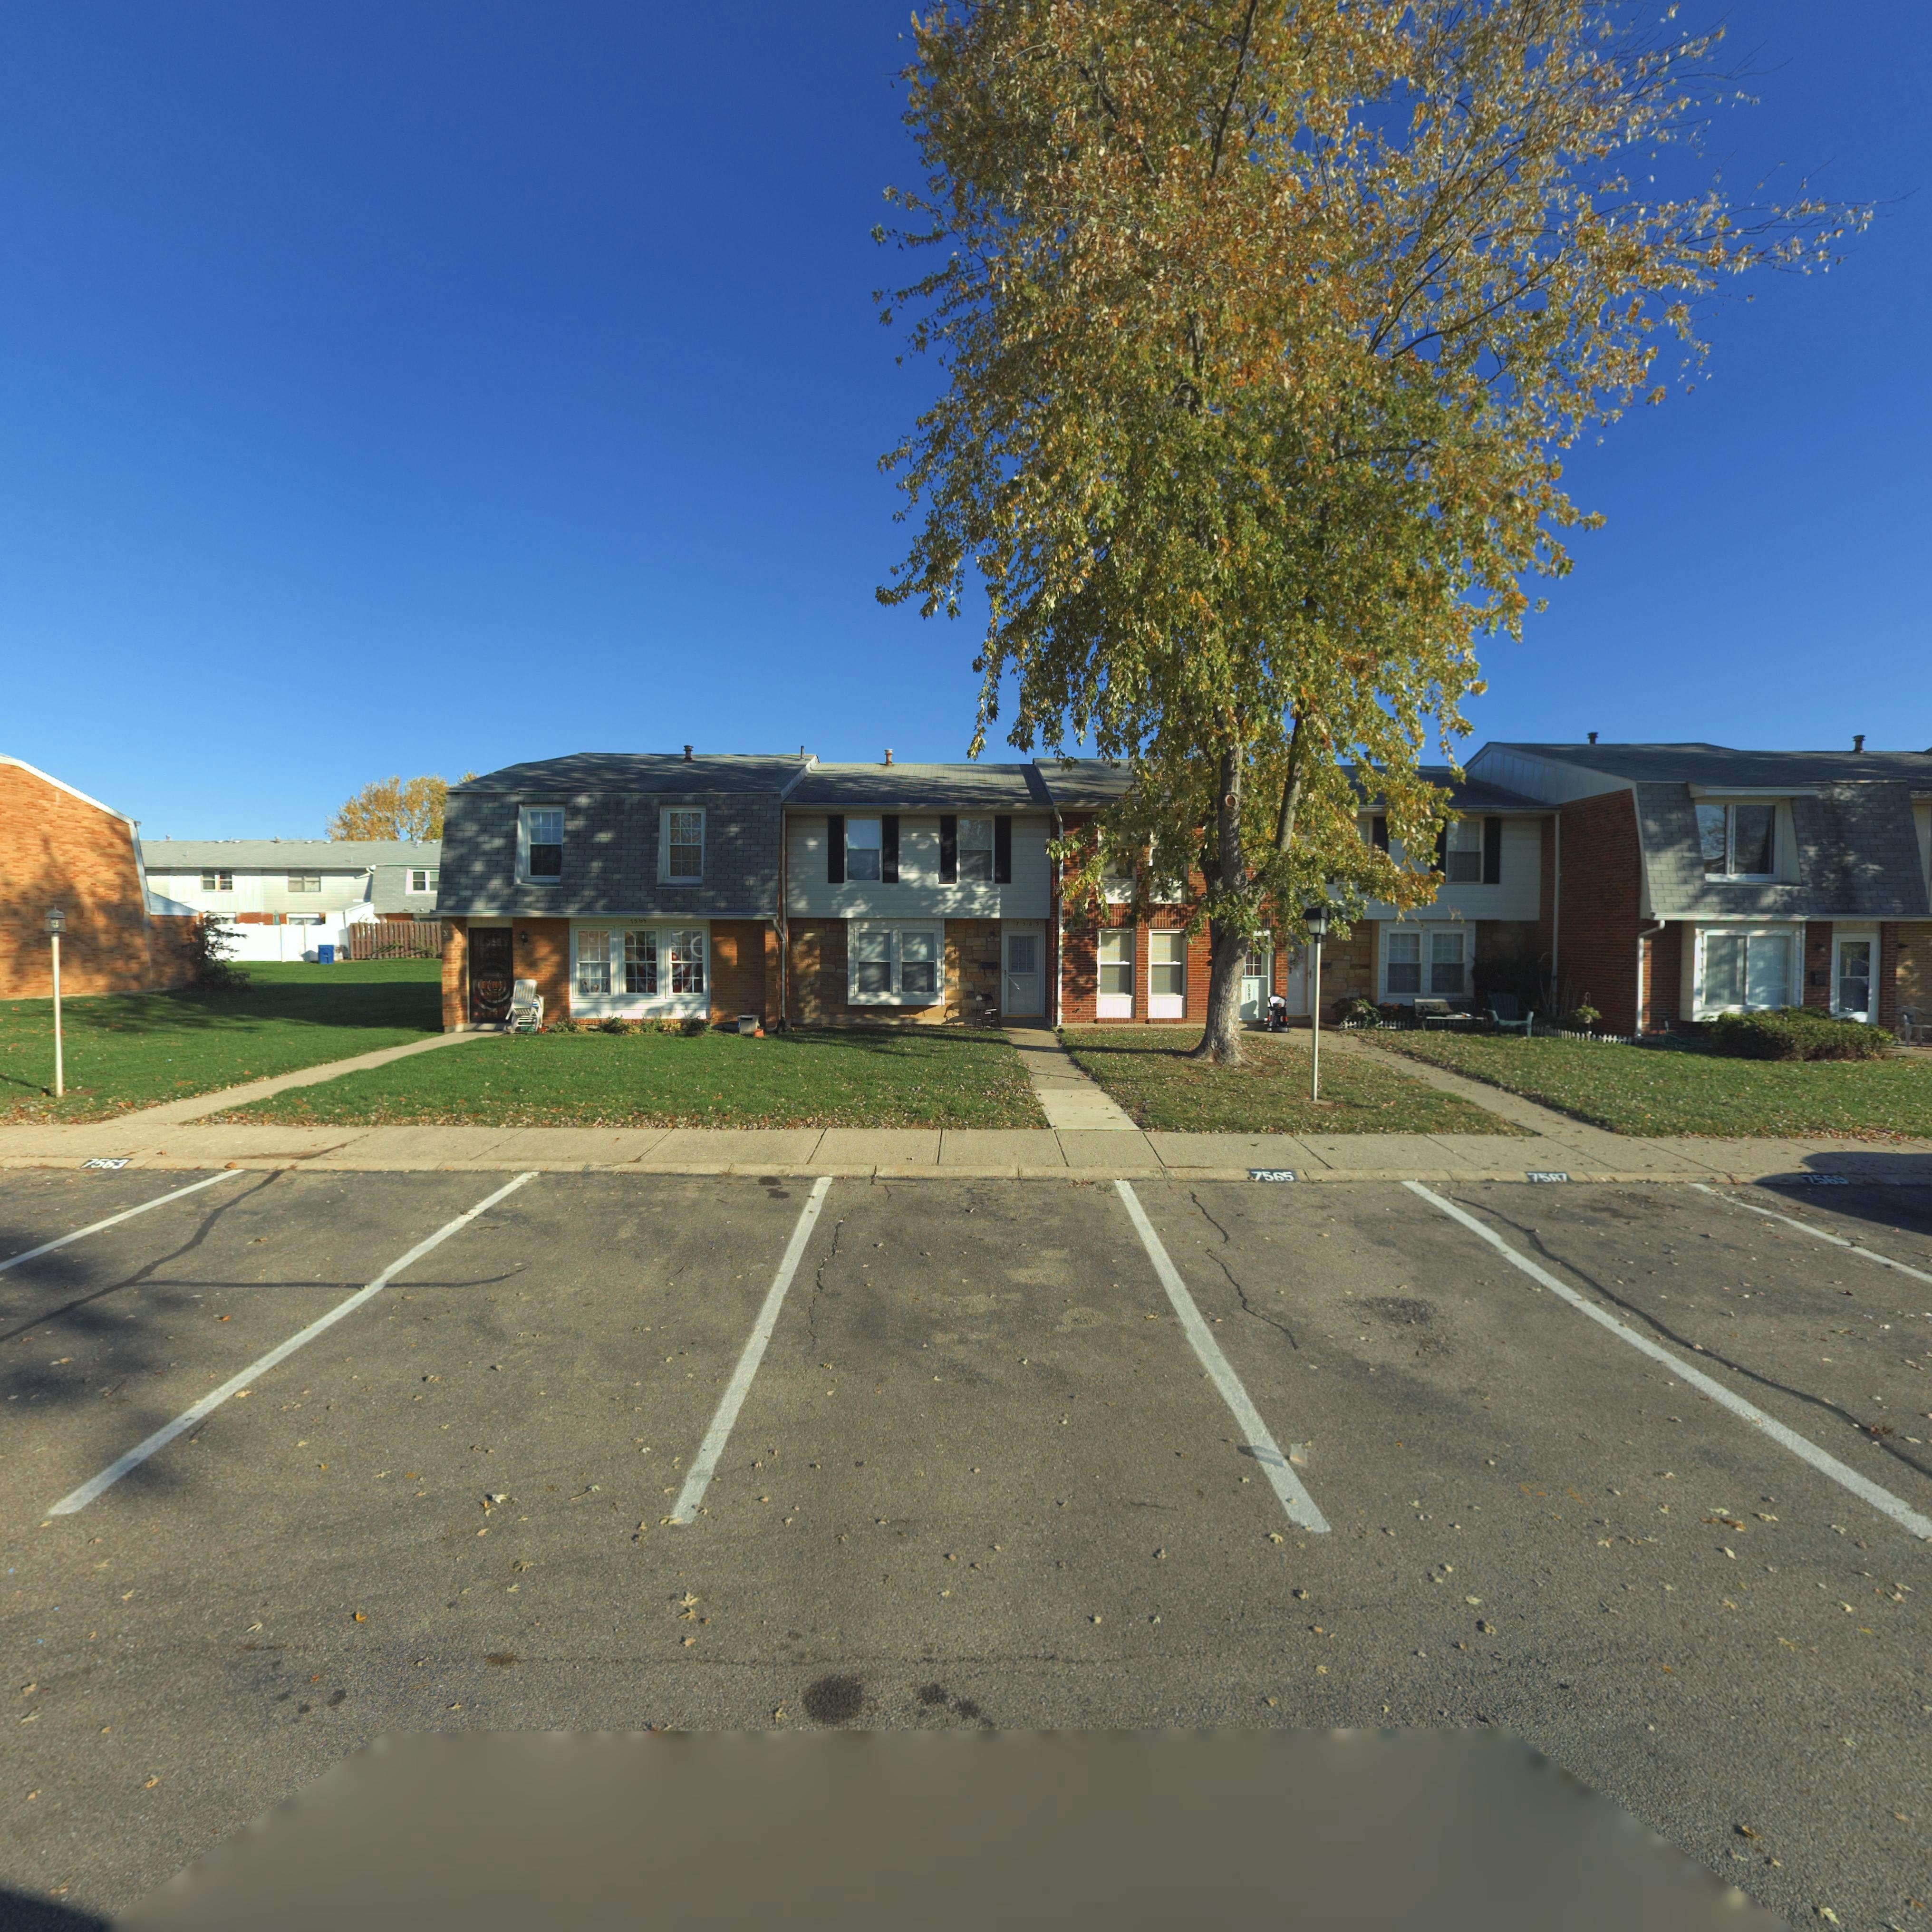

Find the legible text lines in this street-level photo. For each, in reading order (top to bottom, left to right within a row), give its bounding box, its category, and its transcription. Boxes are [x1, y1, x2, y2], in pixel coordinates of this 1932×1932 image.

[629, 918, 647, 925] StreetNumber: 7563
[1015, 921, 1039, 927] StreetNumber: 7565
[1247, 983, 1251, 1001] StreetNumber: 75*7
[79, 1158, 130, 1169] StreetNumber: 7563
[1249, 1170, 1296, 1182] StreetNumber: 7565
[1525, 1171, 1568, 1183] StreetNumber: 7567
[1799, 1173, 1851, 1185] StreetNumber: 7569